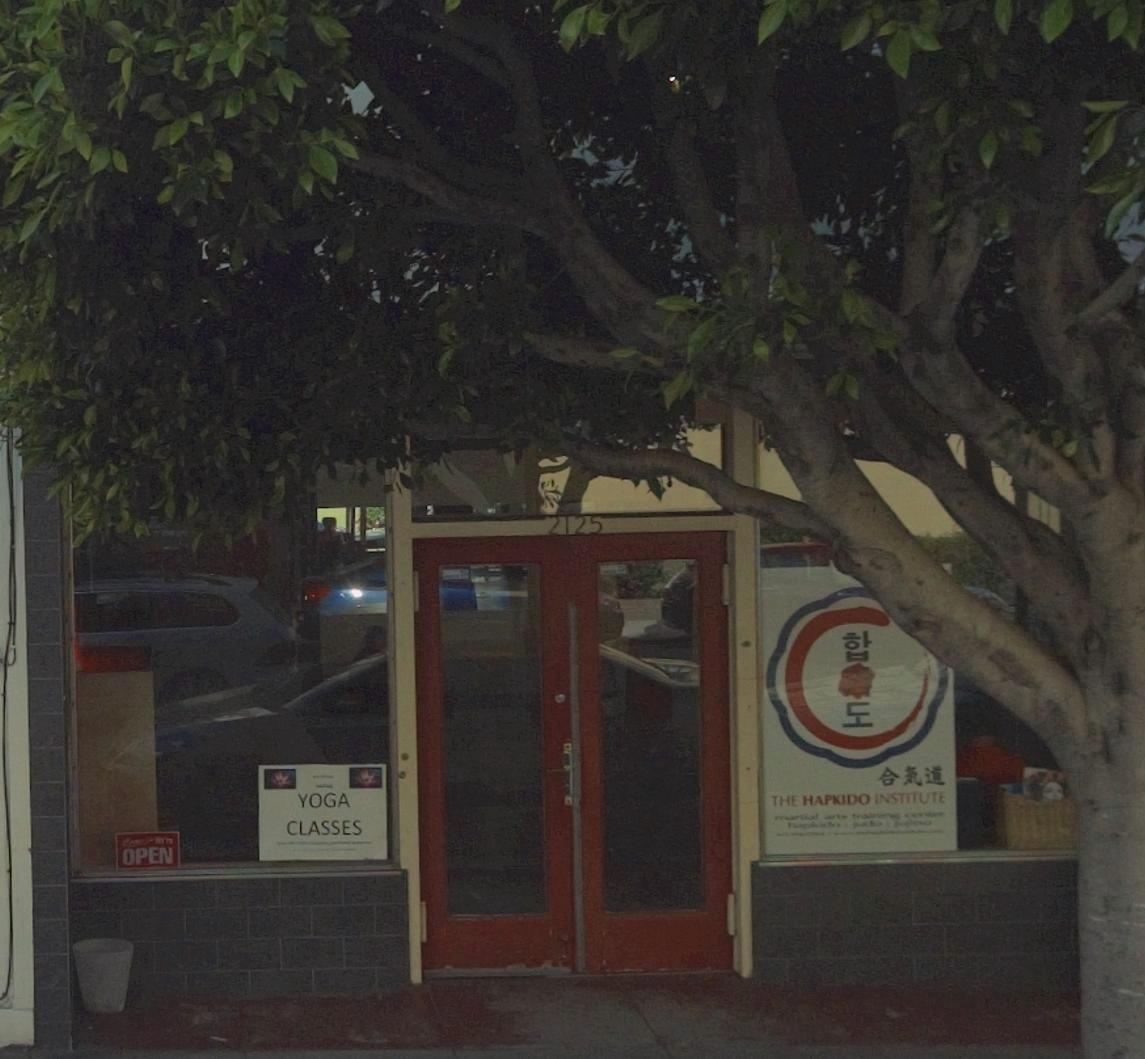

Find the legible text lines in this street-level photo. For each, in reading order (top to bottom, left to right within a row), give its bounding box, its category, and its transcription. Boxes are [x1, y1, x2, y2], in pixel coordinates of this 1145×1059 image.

[545, 511, 604, 536] StreetNumber: 2125
[296, 791, 350, 809] None: YOGA
[769, 789, 947, 809] BusinessName: THE HAPKIDO INSTITUTE
[285, 817, 363, 837] None: CLASSES
[121, 845, 174, 866] None: OPEN